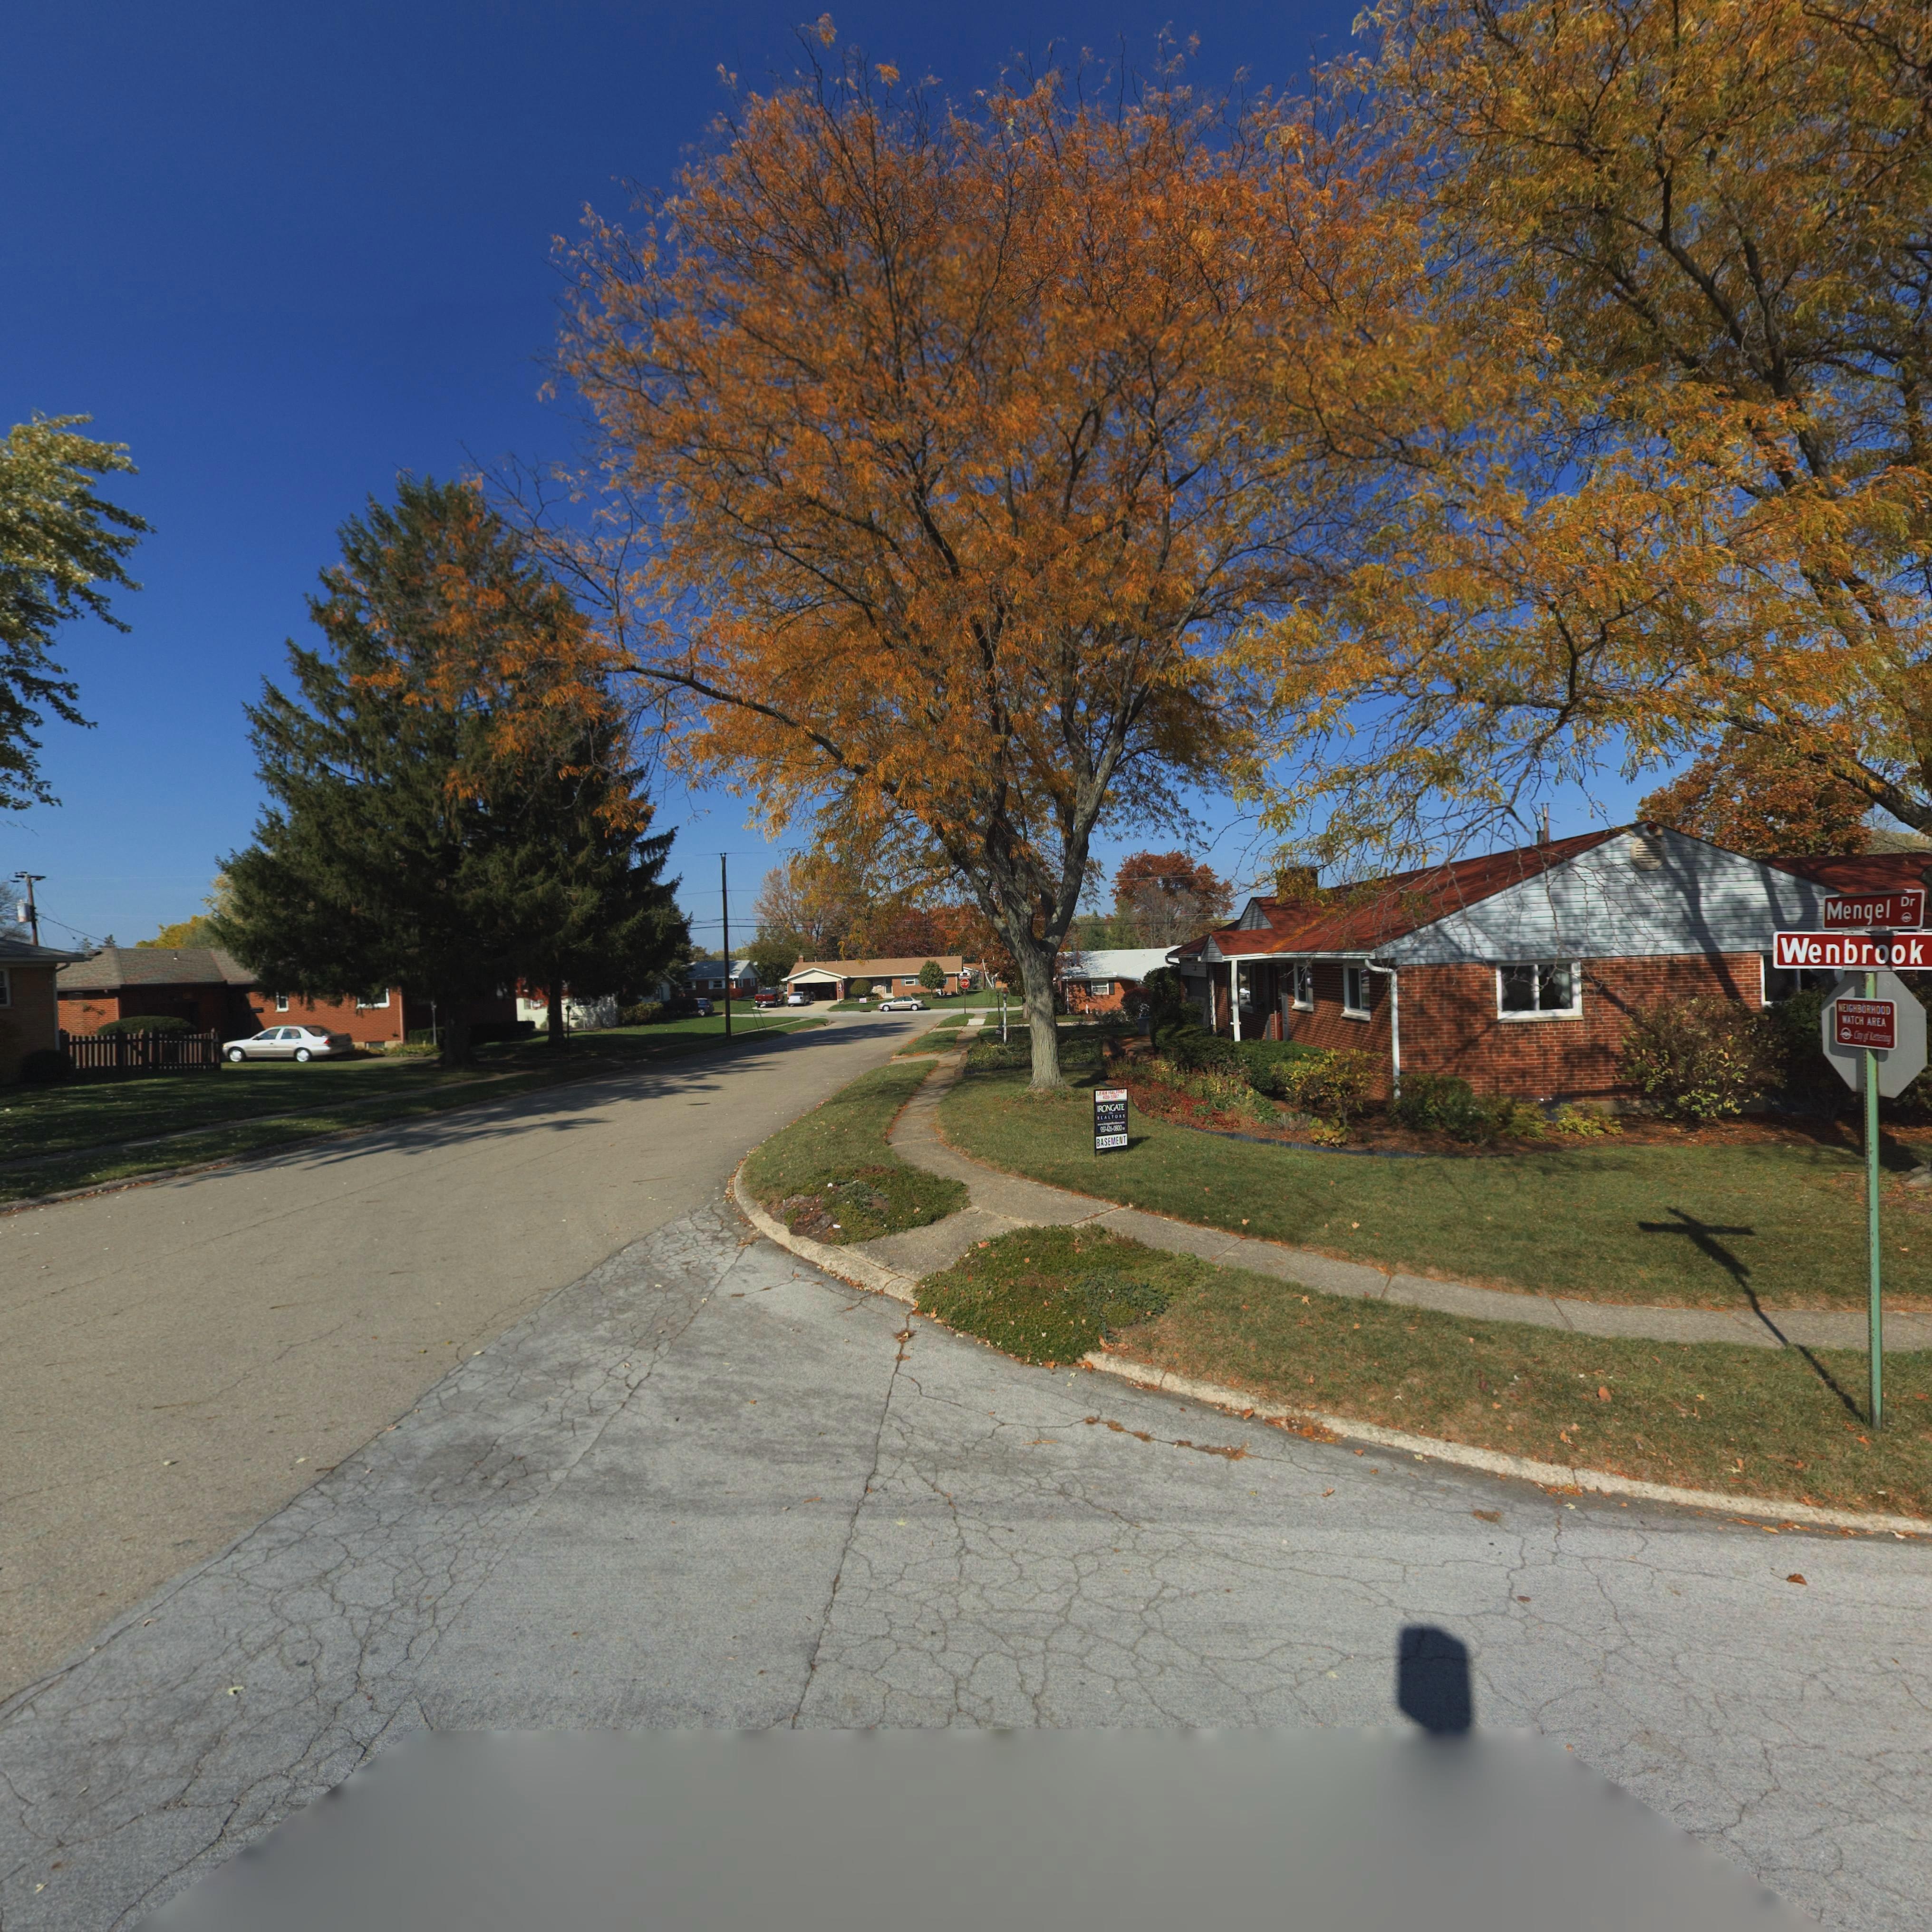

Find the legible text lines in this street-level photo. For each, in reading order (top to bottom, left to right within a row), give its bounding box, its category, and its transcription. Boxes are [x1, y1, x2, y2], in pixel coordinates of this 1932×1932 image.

[1825, 895, 1917, 928] StreetName: Mengel Dr
[1777, 935, 1928, 967] StreetName: Wenbrook
[1836, 1001, 1893, 1017] None: NEIGHBORHOOD
[1840, 1013, 1889, 1029] None: WATCH AREA
[1096, 1101, 1126, 1114] None: IRONGATE
[1096, 1112, 1127, 1121] None: **ALTORS
[1095, 1134, 1127, 1148] None: BASEMENT